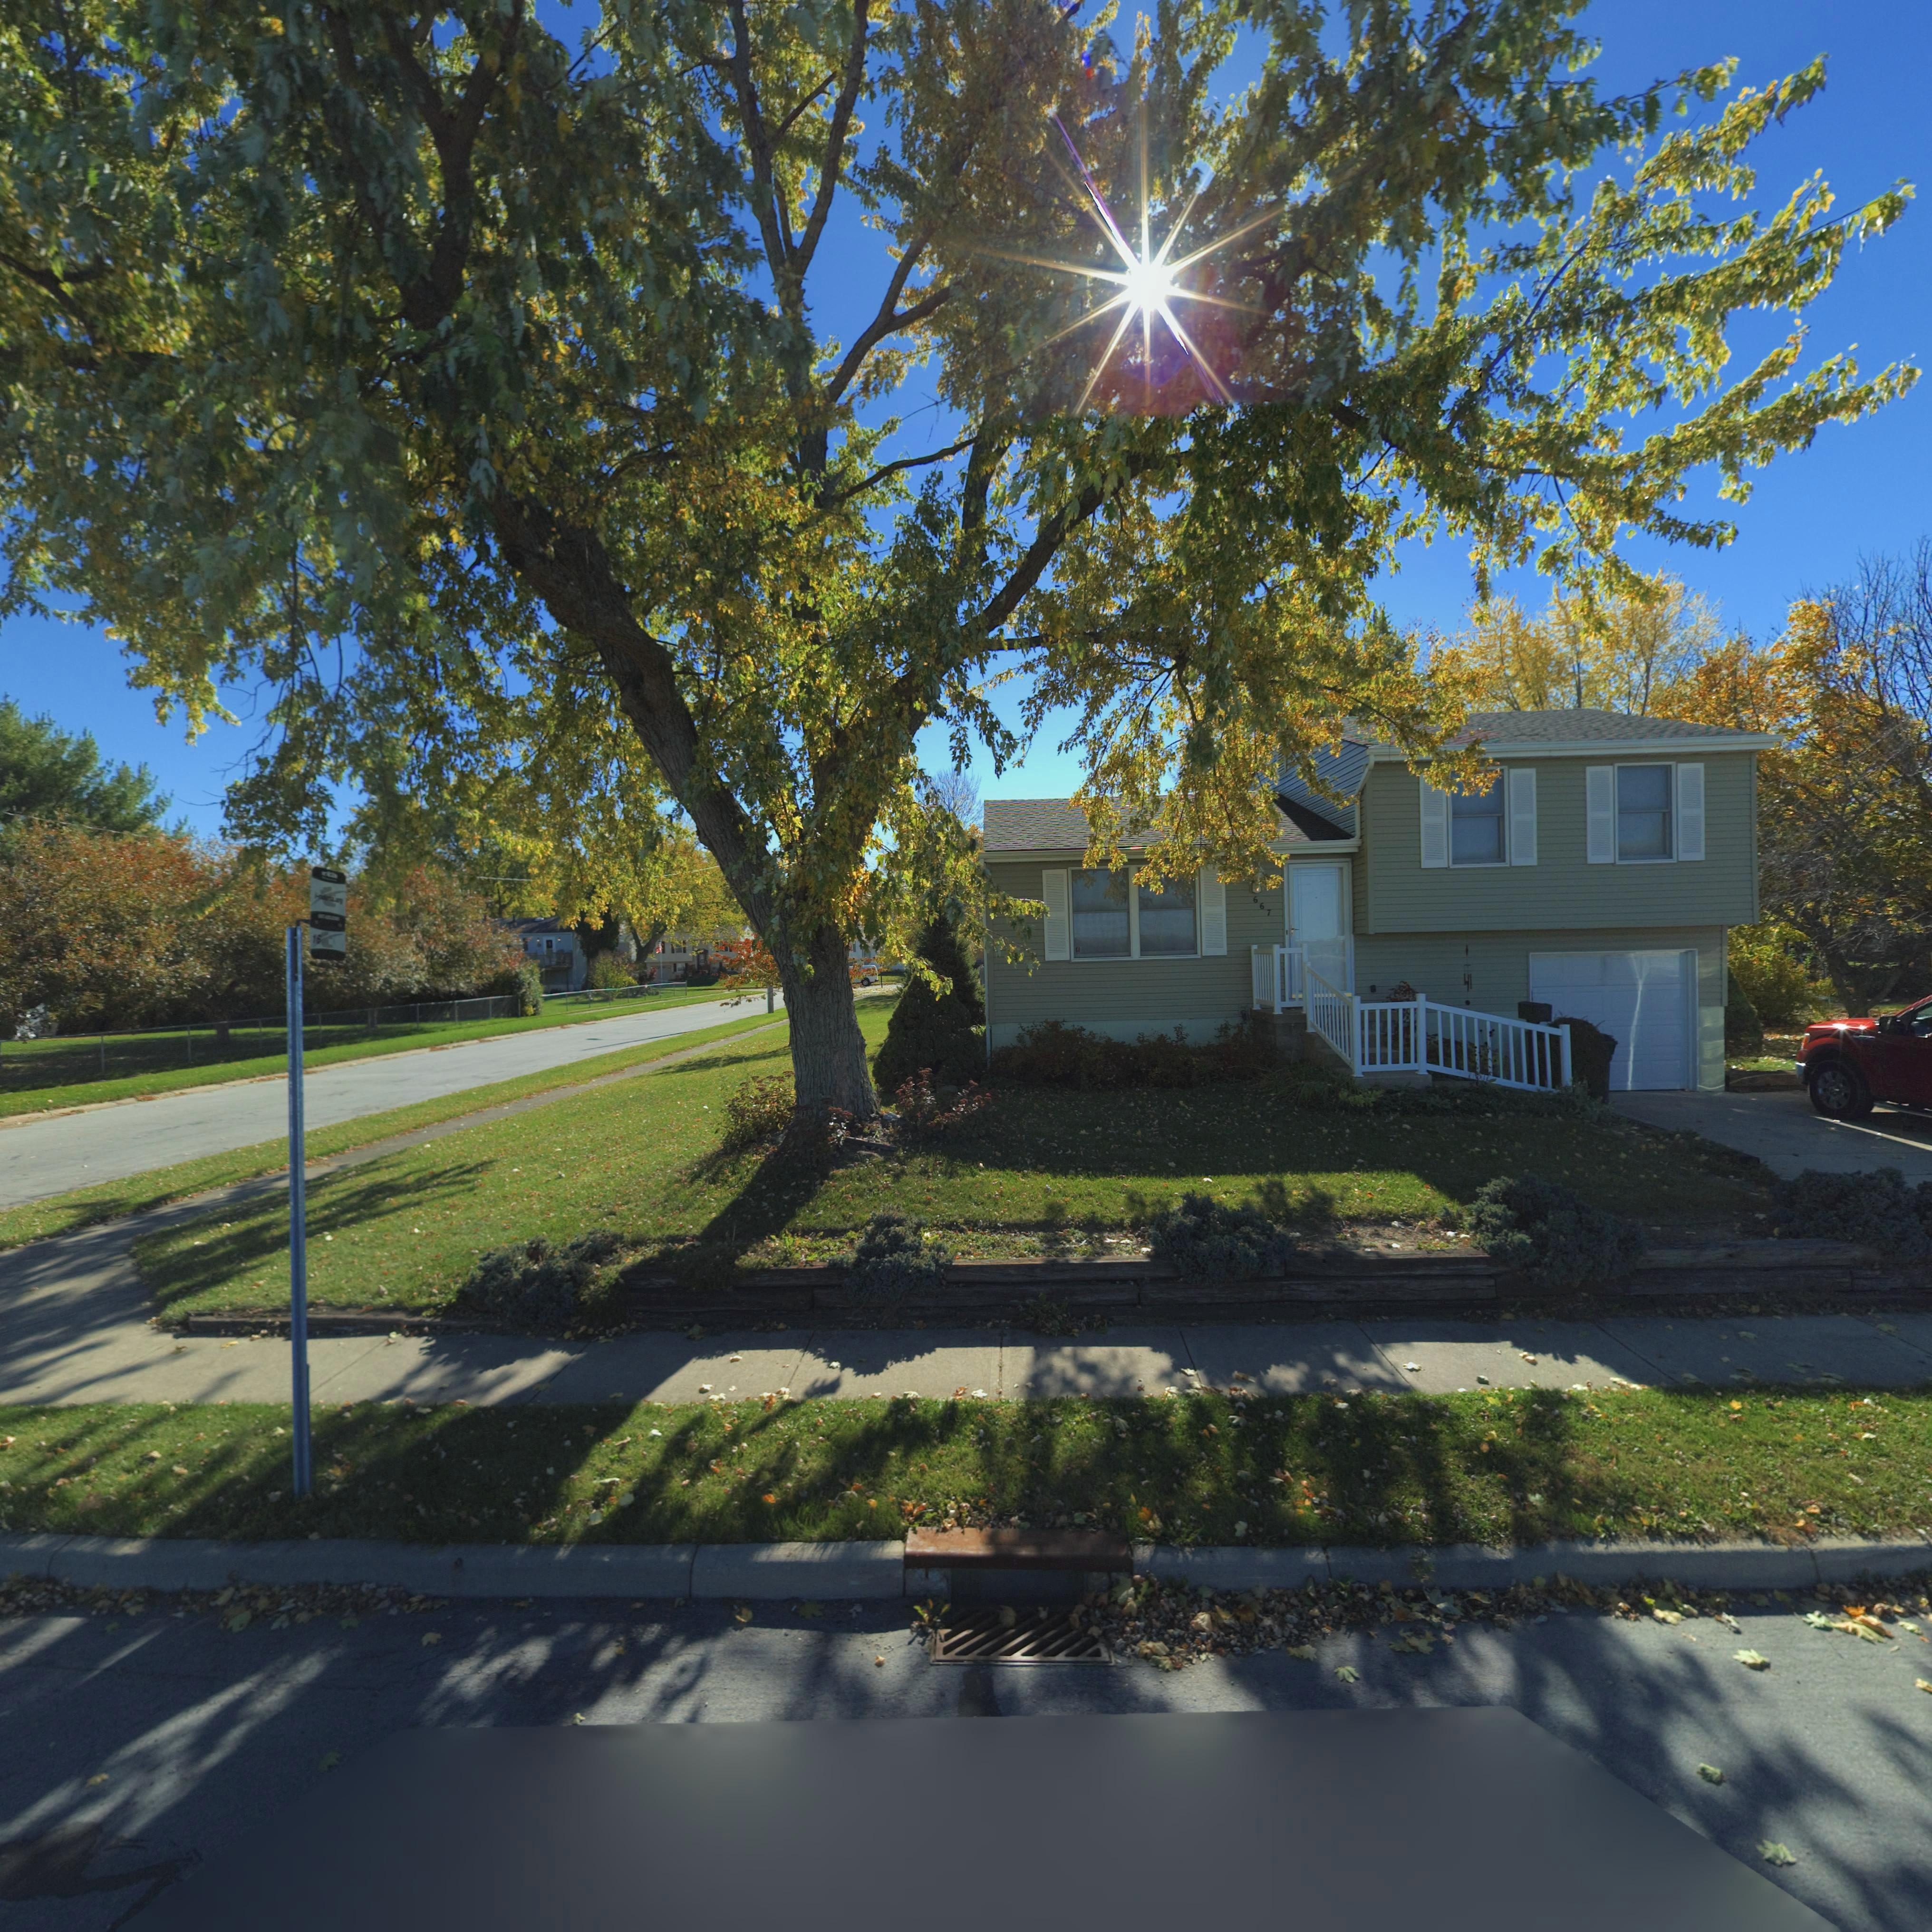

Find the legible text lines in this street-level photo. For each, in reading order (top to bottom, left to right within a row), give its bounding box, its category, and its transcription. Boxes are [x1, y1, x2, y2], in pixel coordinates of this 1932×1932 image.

[1253, 896, 1272, 917] StreetNumber: 667